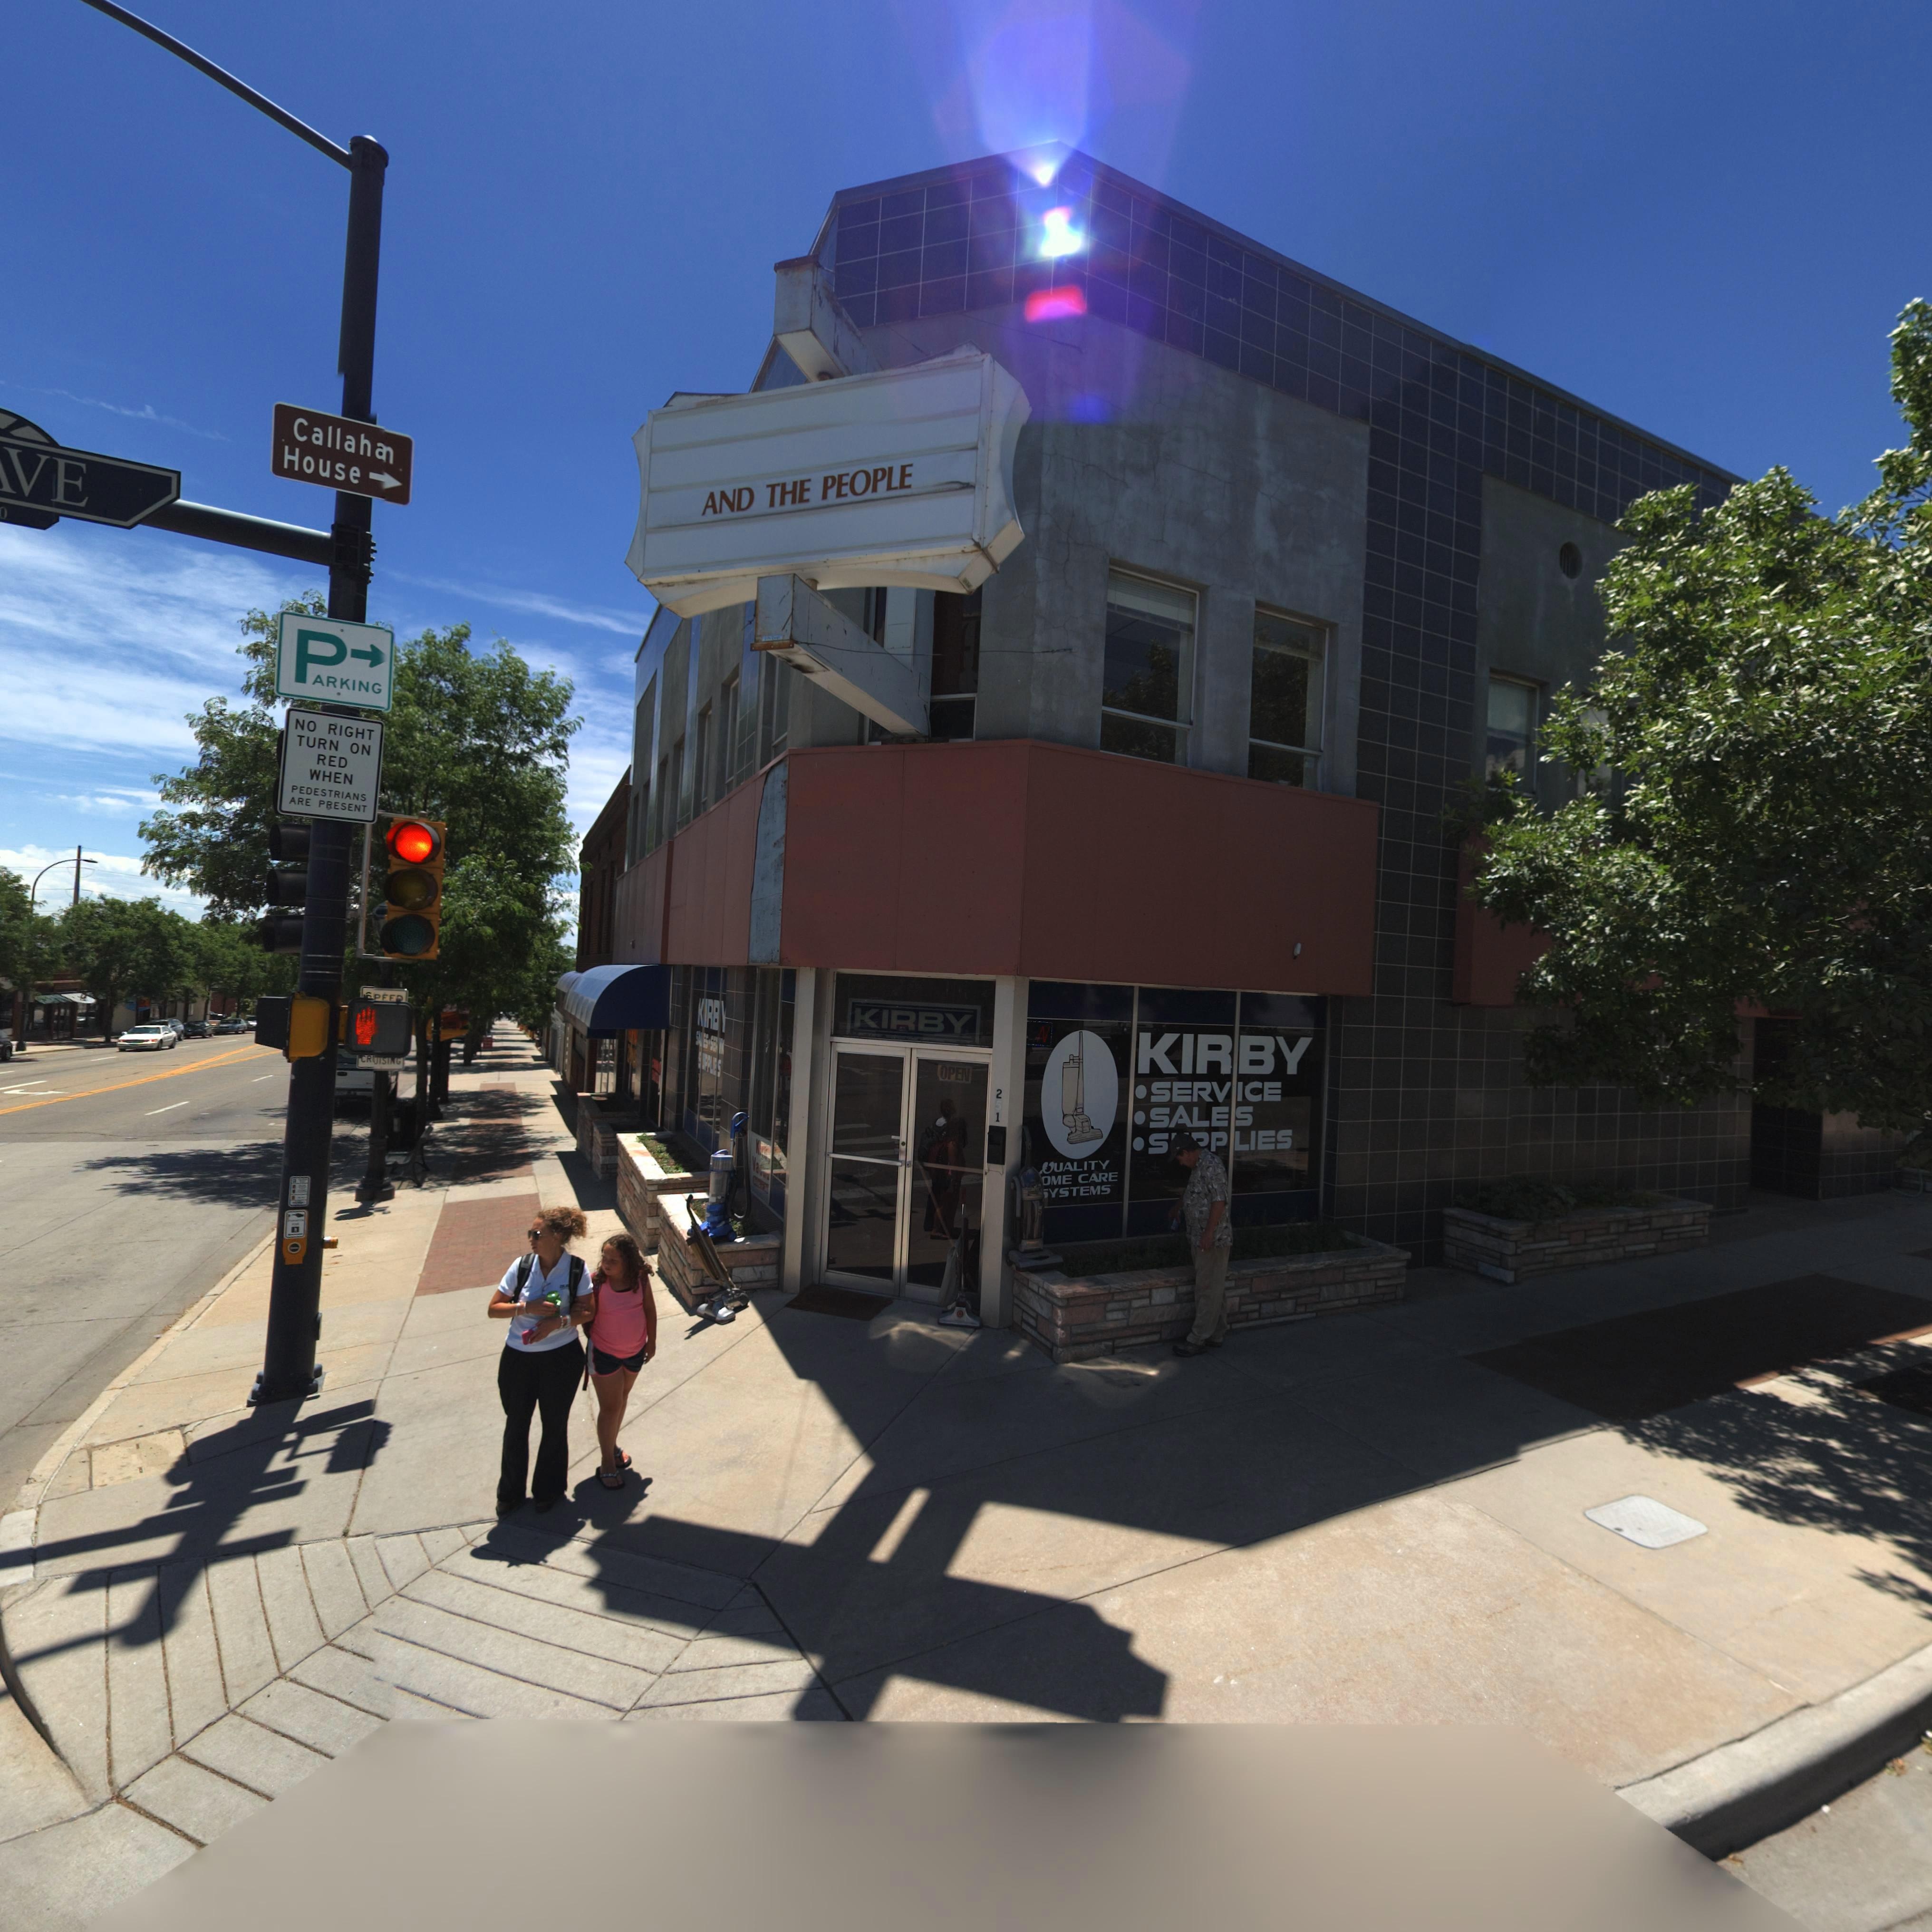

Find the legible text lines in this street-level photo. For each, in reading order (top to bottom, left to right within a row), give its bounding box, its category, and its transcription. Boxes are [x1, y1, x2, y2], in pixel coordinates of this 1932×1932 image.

[3, 445, 88, 509] StreetName: VE
[697, 997, 727, 1033] BusinessName: KIRBY
[853, 1007, 973, 1034] BusinessName: KIRBY
[1137, 1031, 1313, 1074] BusinessName: KIRBY
[994, 1088, 1003, 1123] StreetNumber: 251